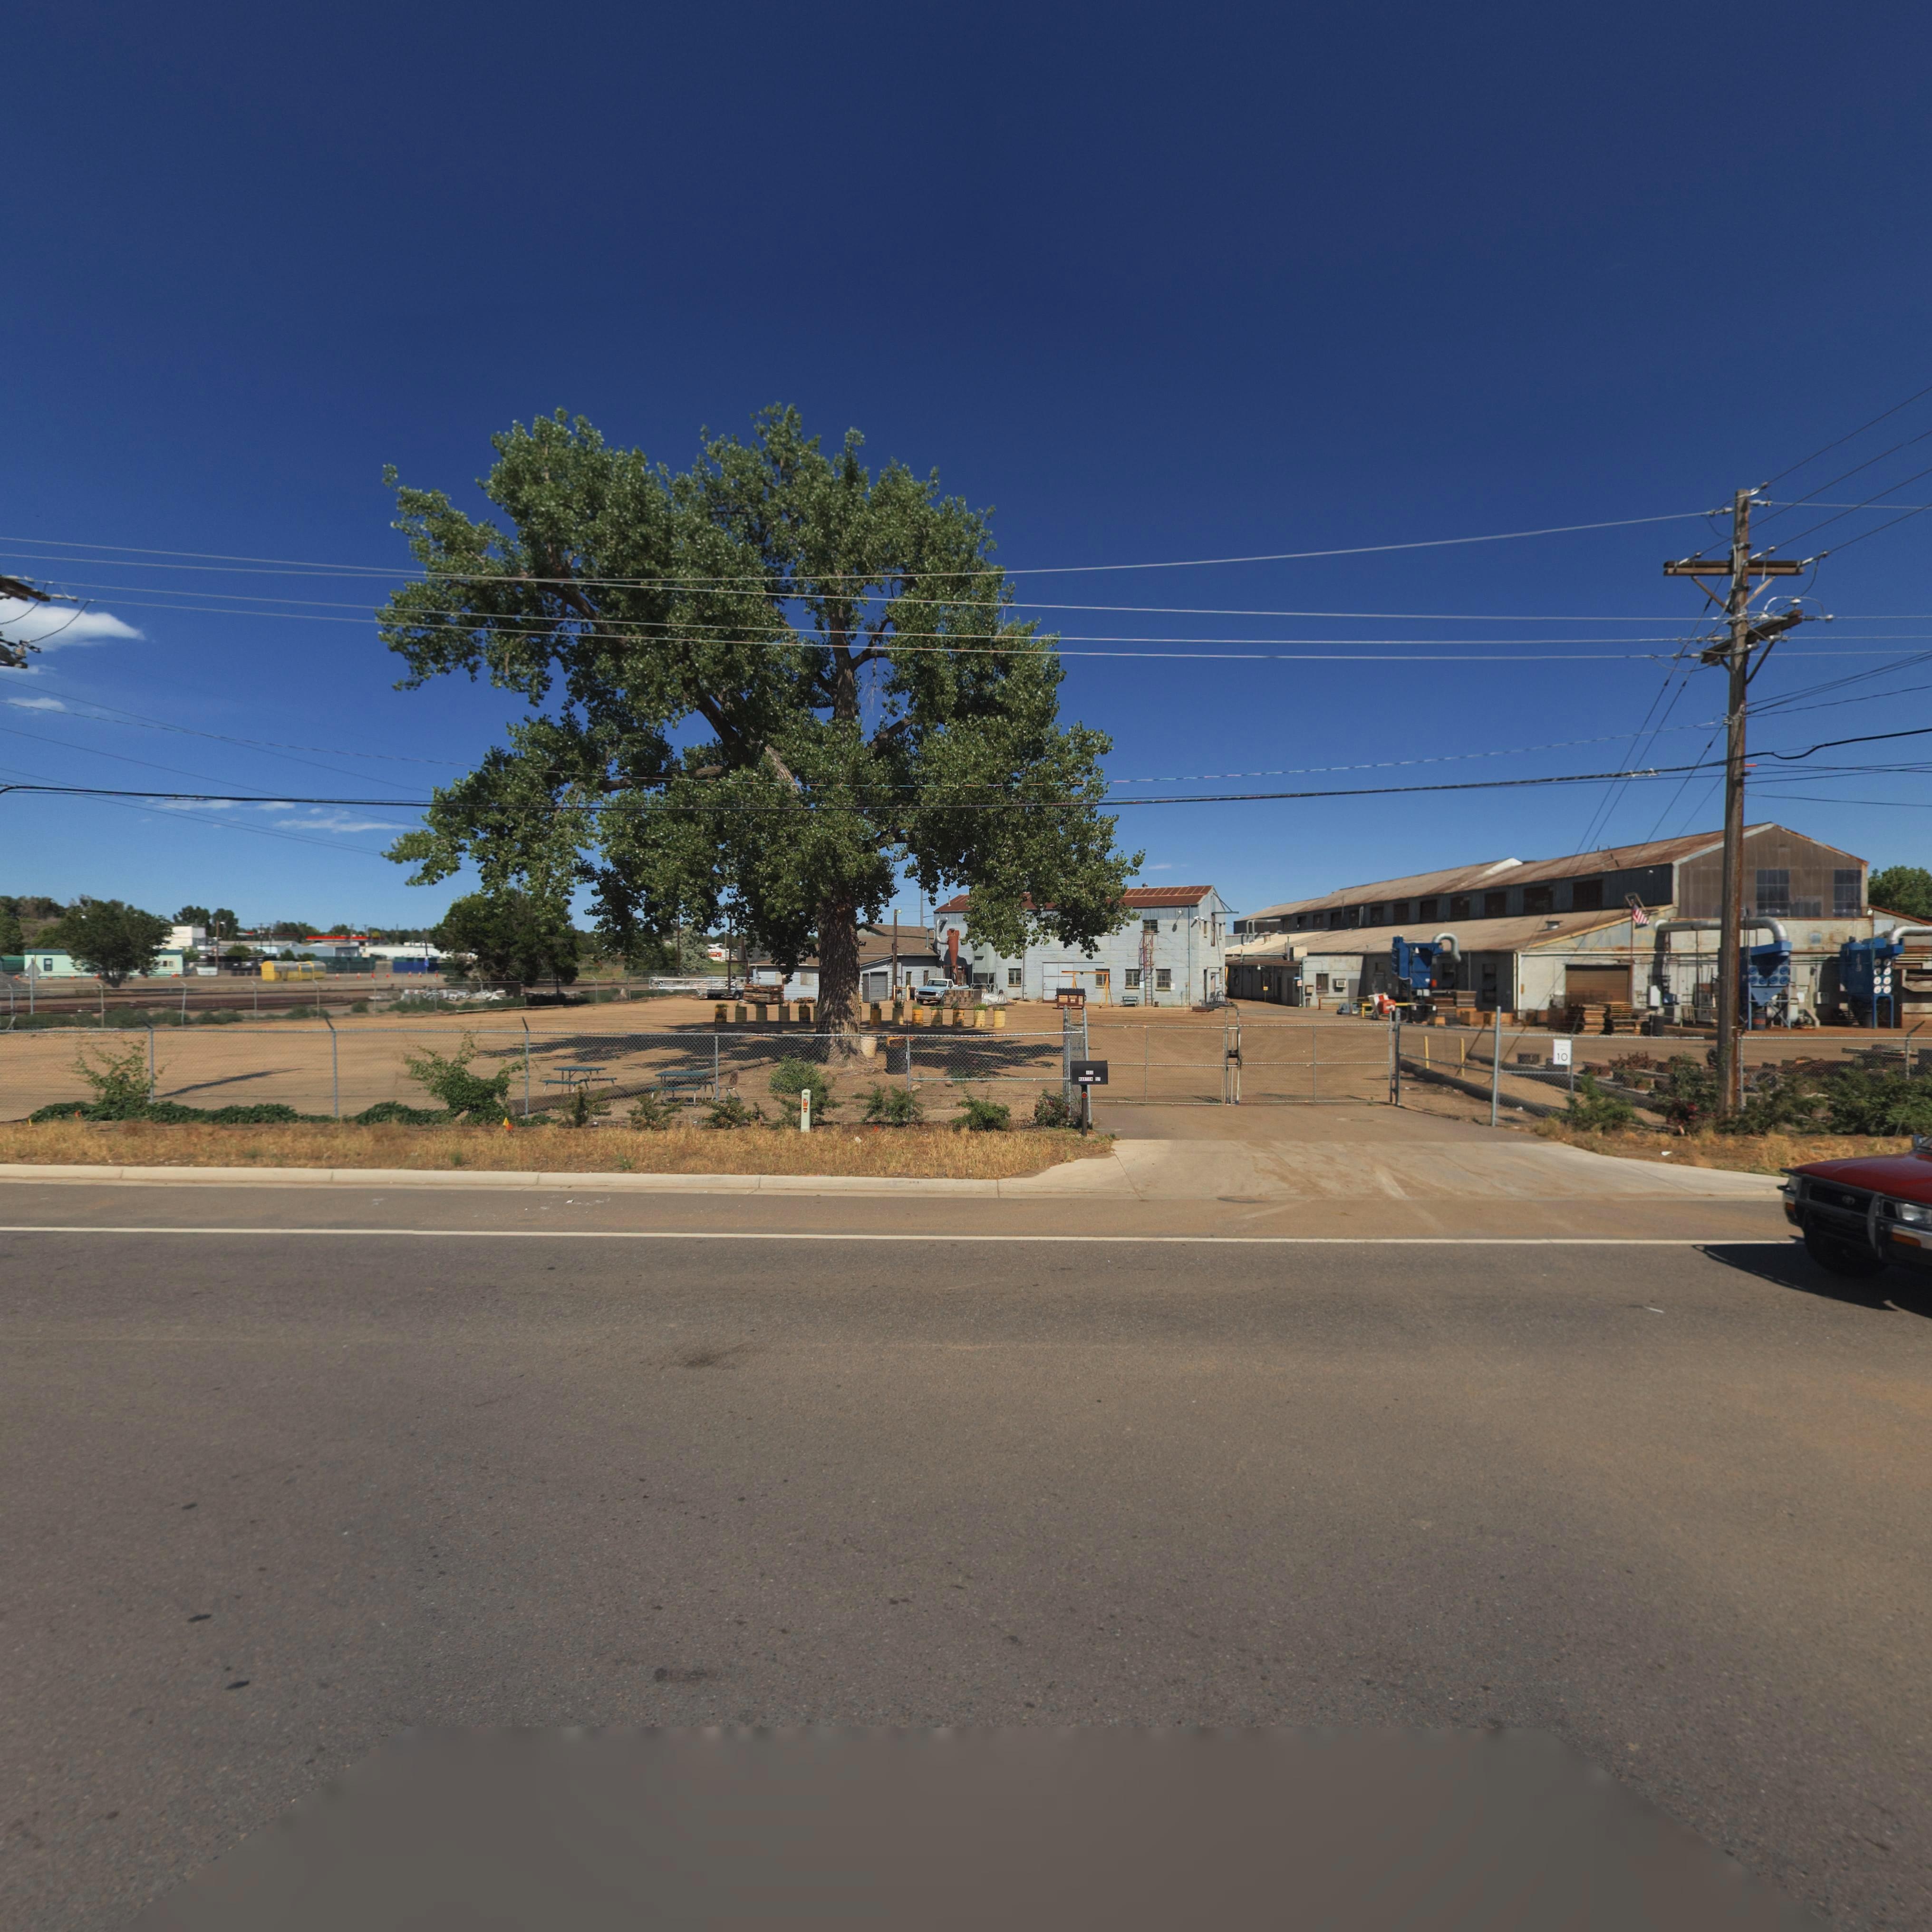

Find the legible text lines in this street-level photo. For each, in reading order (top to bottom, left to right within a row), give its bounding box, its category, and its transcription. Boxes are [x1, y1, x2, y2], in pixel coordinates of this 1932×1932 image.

[1087, 1071, 1092, 1074] StreetNumber: 101